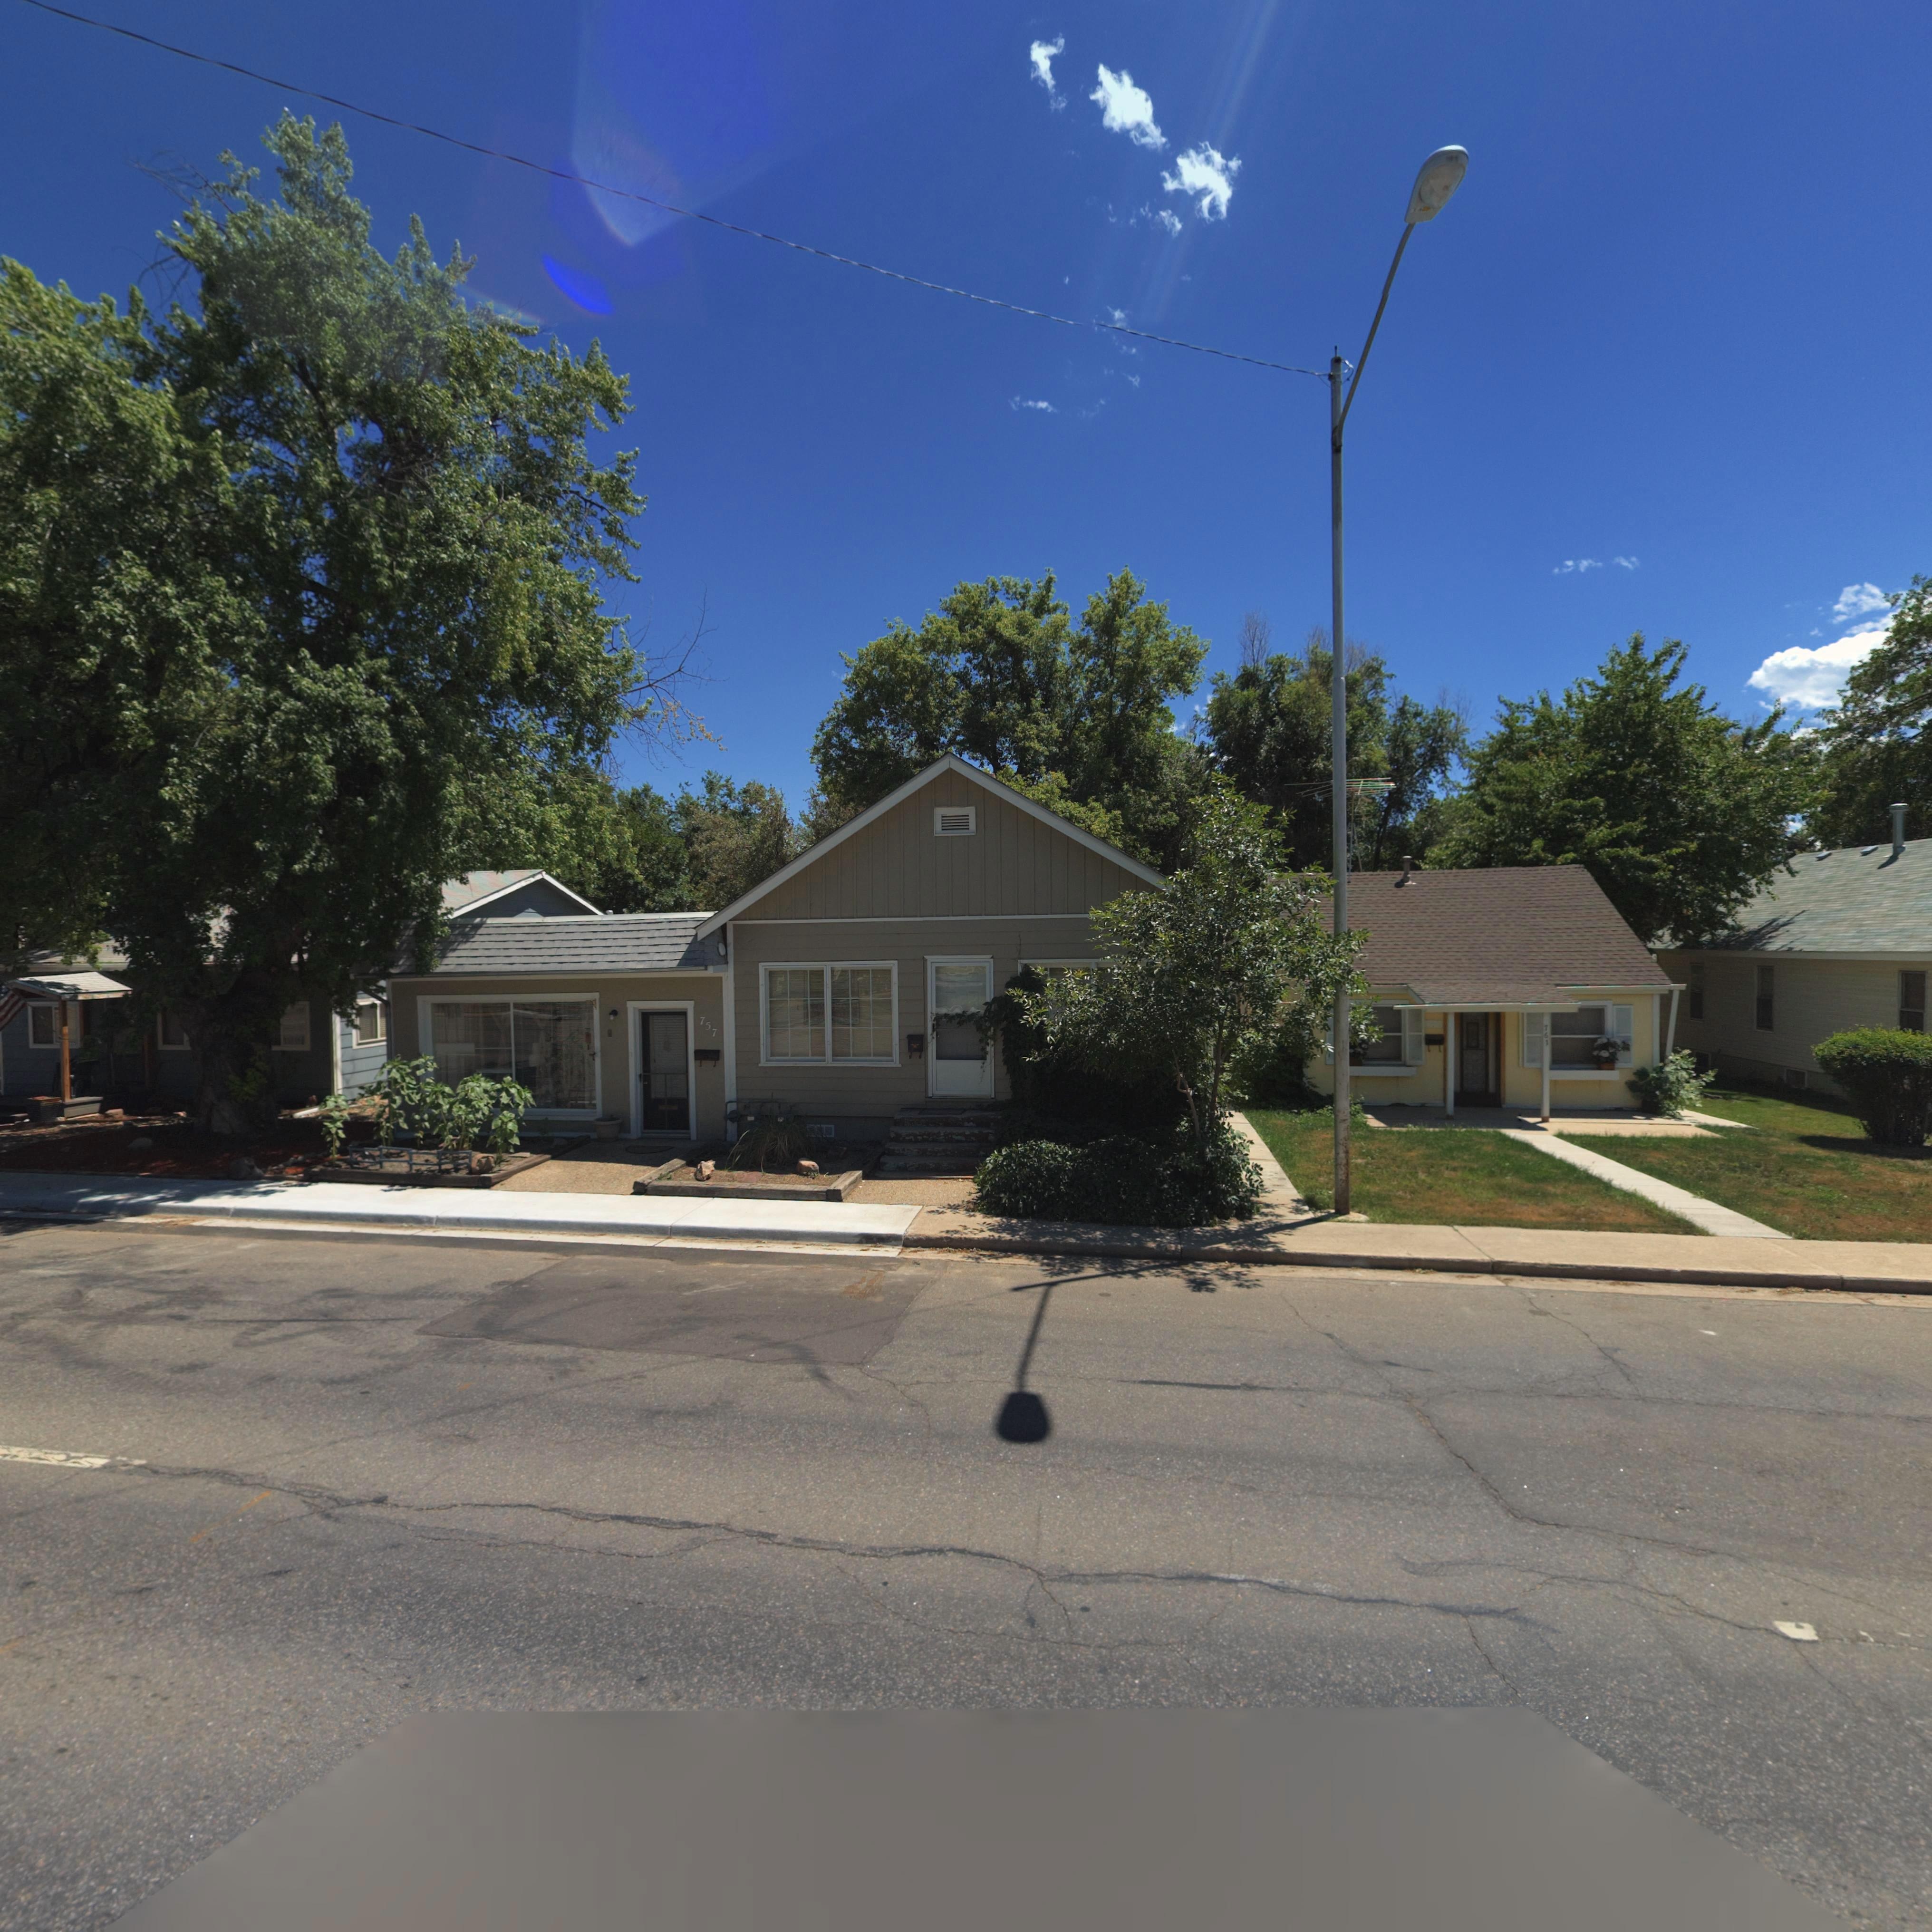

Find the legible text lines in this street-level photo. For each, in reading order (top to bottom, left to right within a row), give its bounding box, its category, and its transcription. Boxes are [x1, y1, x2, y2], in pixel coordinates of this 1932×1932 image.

[700, 1016, 718, 1037] StreetNumber: 757
[1543, 1024, 1549, 1046] StreetNumber: 761